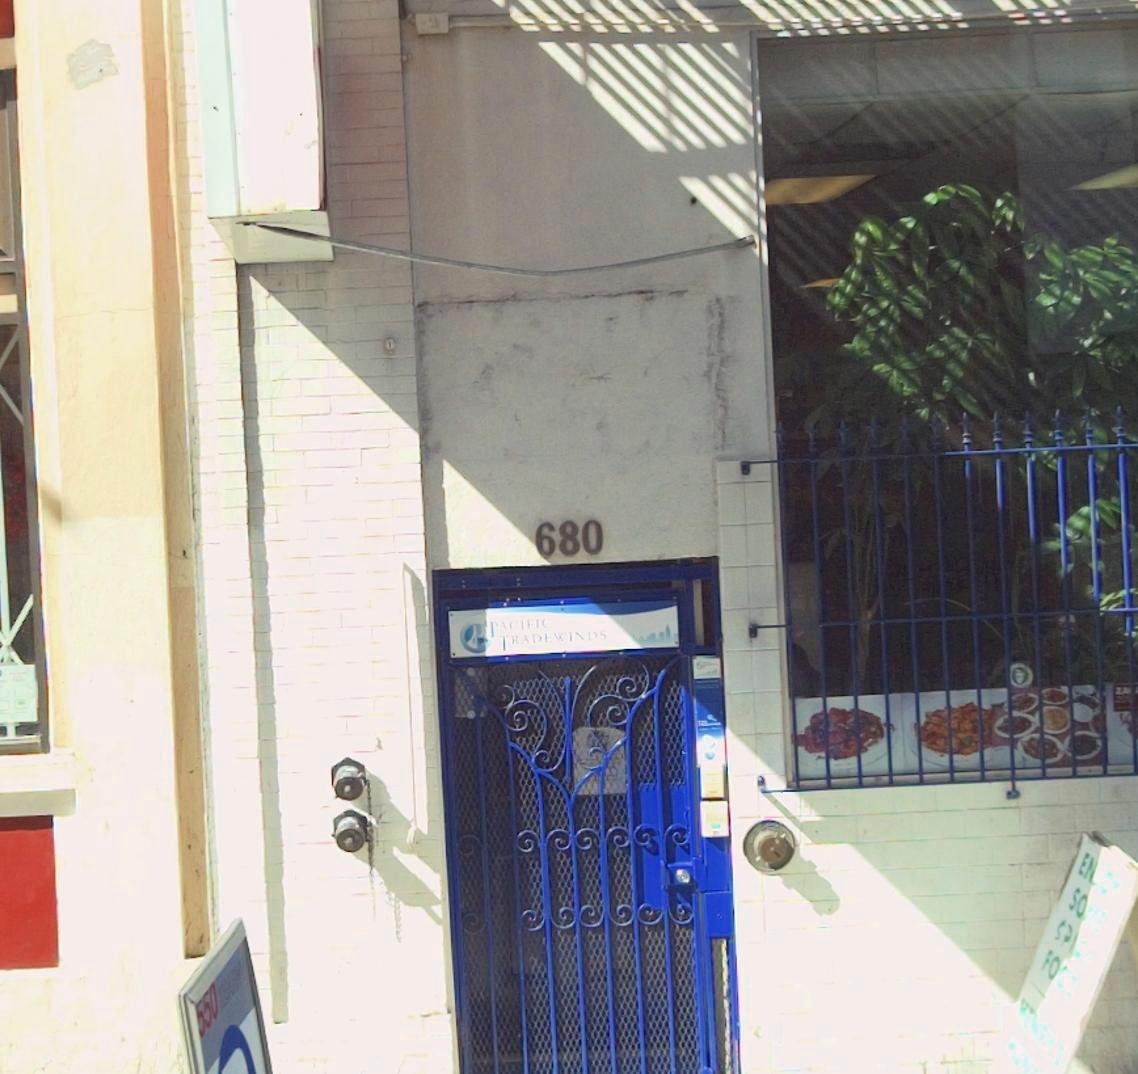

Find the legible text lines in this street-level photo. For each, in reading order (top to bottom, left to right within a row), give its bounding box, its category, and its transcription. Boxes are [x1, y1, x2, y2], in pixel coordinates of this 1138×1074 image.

[531, 518, 606, 560] StreetNumber: 680
[489, 615, 552, 641] BusinessName: PACIFIC
[497, 627, 607, 654] BusinessName: TRADEWINDS
[1074, 847, 1104, 887] None: EN
[1065, 883, 1093, 920] None: SO
[1050, 915, 1078, 950] None: SP
[1036, 945, 1065, 985] None: FO
[194, 977, 222, 1041] None: 550